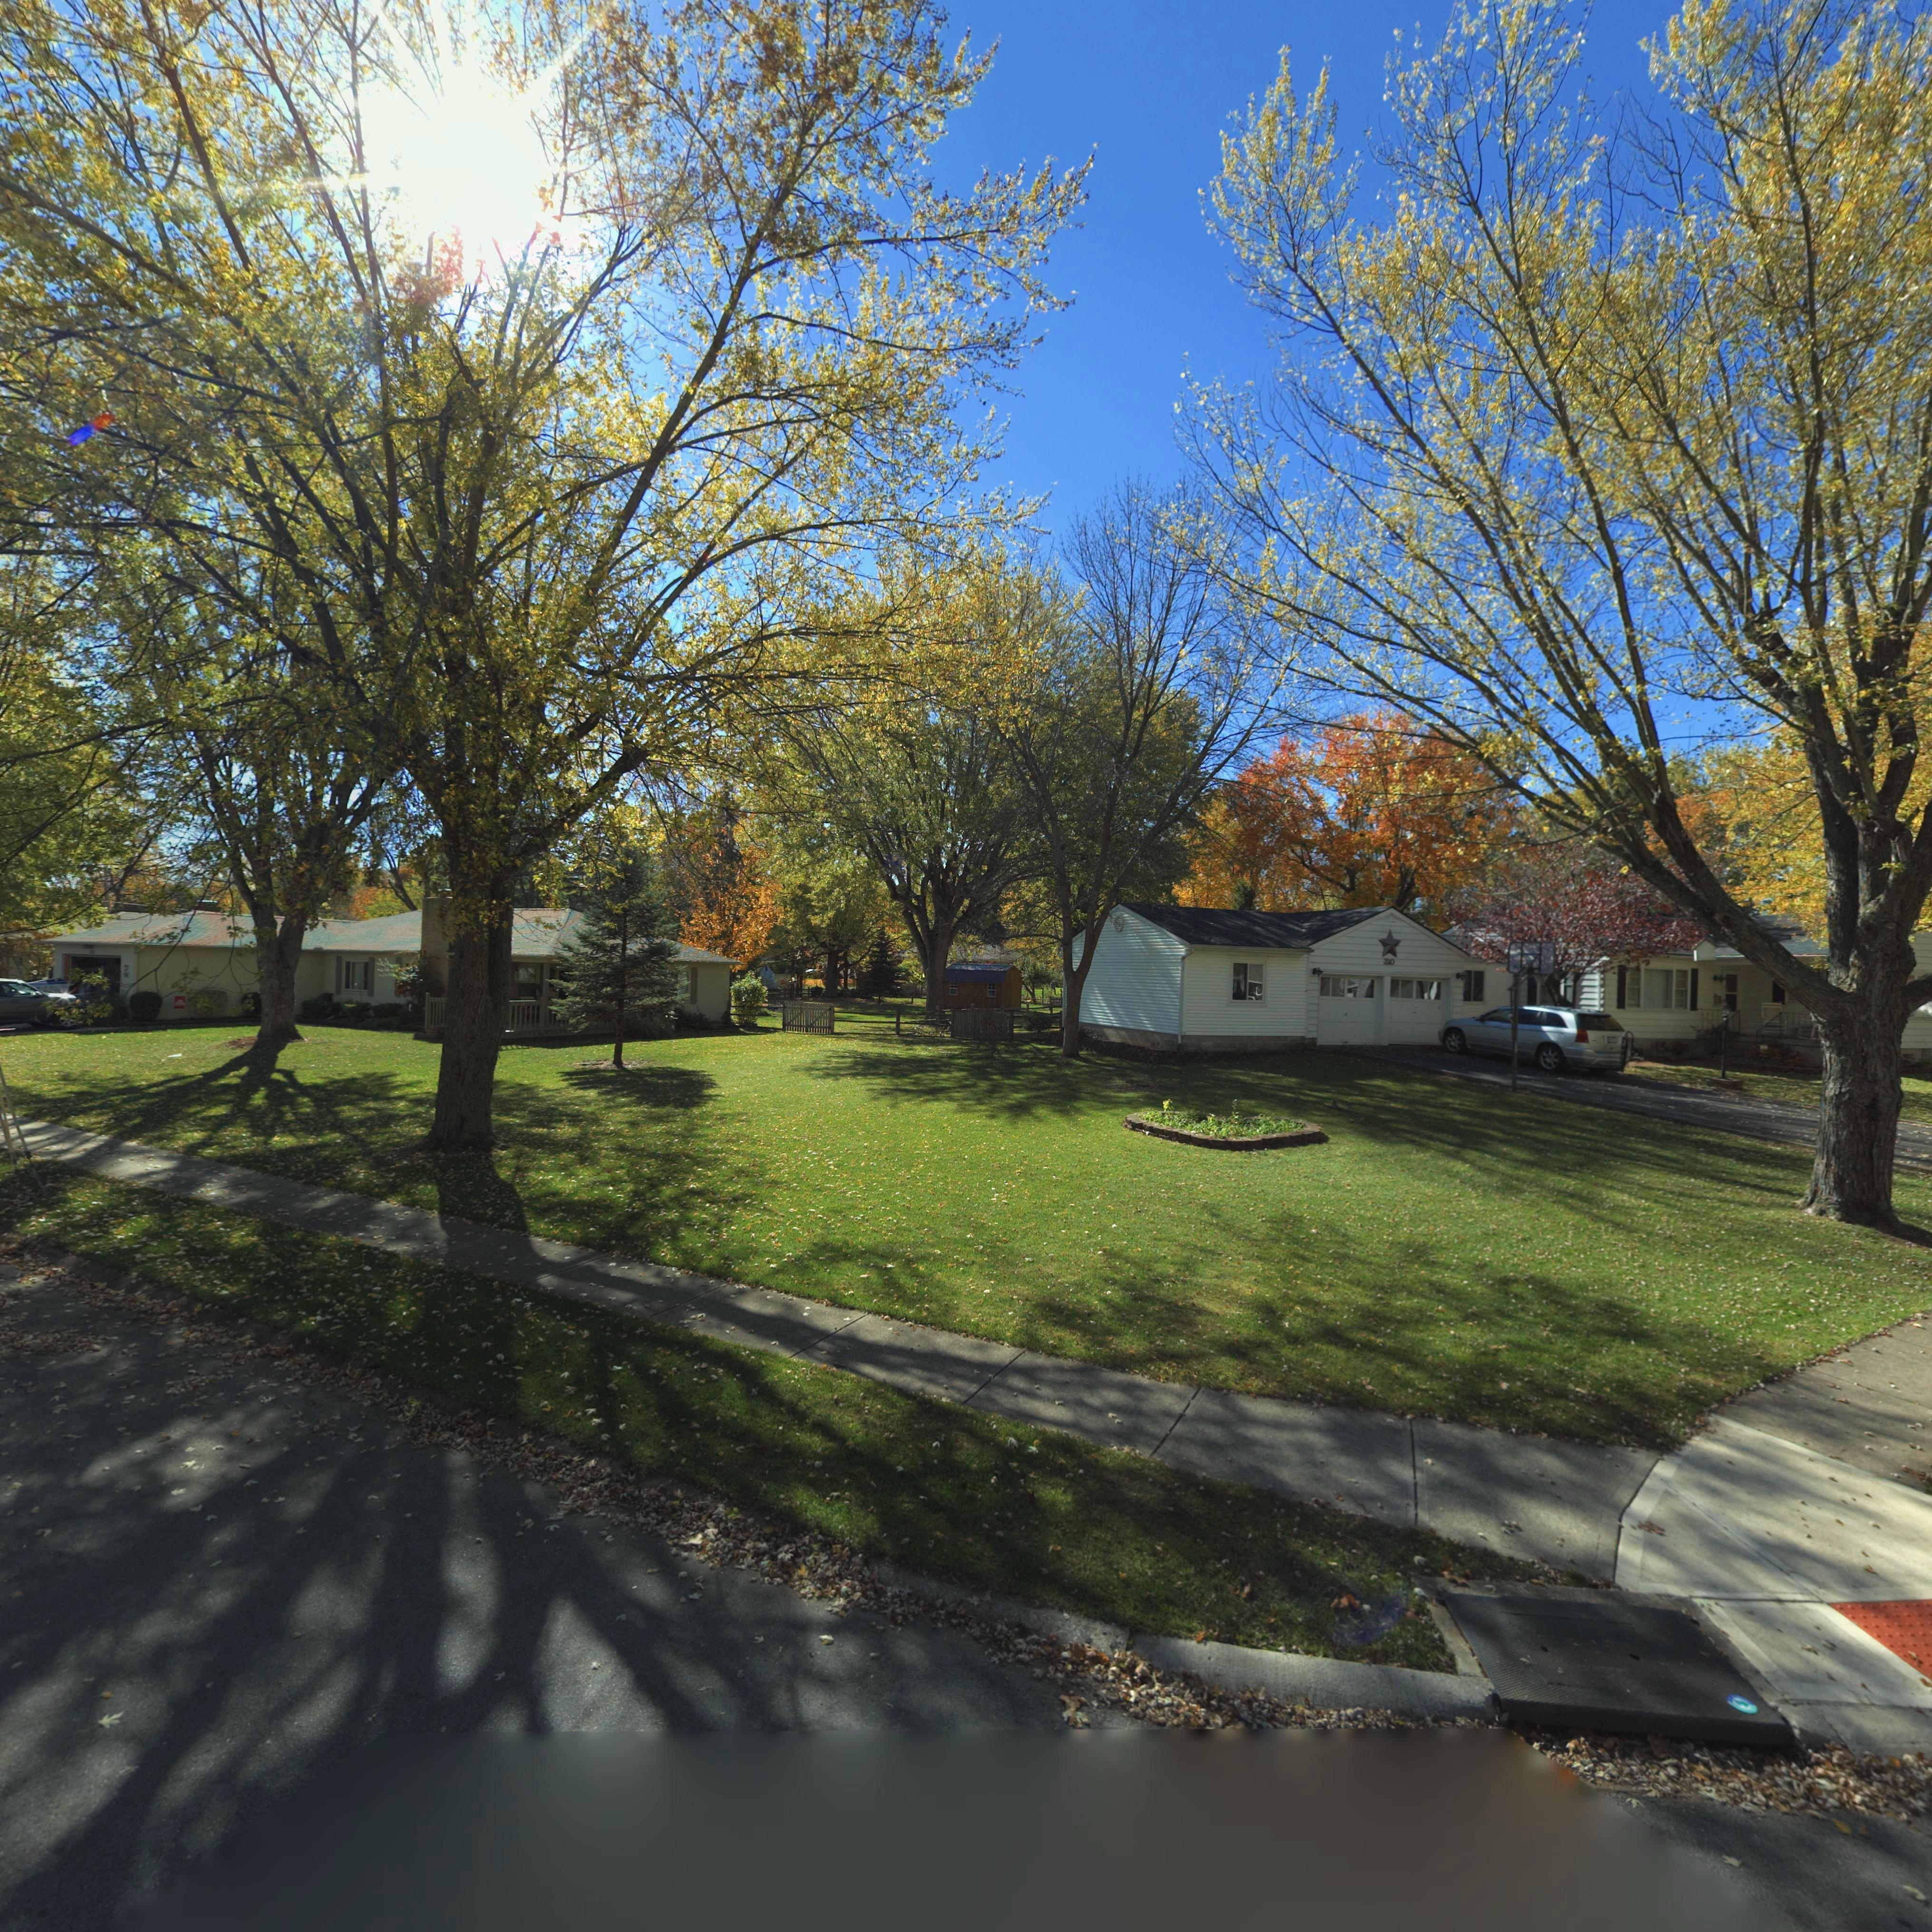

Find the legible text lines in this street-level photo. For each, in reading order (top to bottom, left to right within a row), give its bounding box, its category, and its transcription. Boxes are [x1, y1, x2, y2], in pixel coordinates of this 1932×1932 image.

[1382, 957, 1396, 966] StreetNumber: 3*0